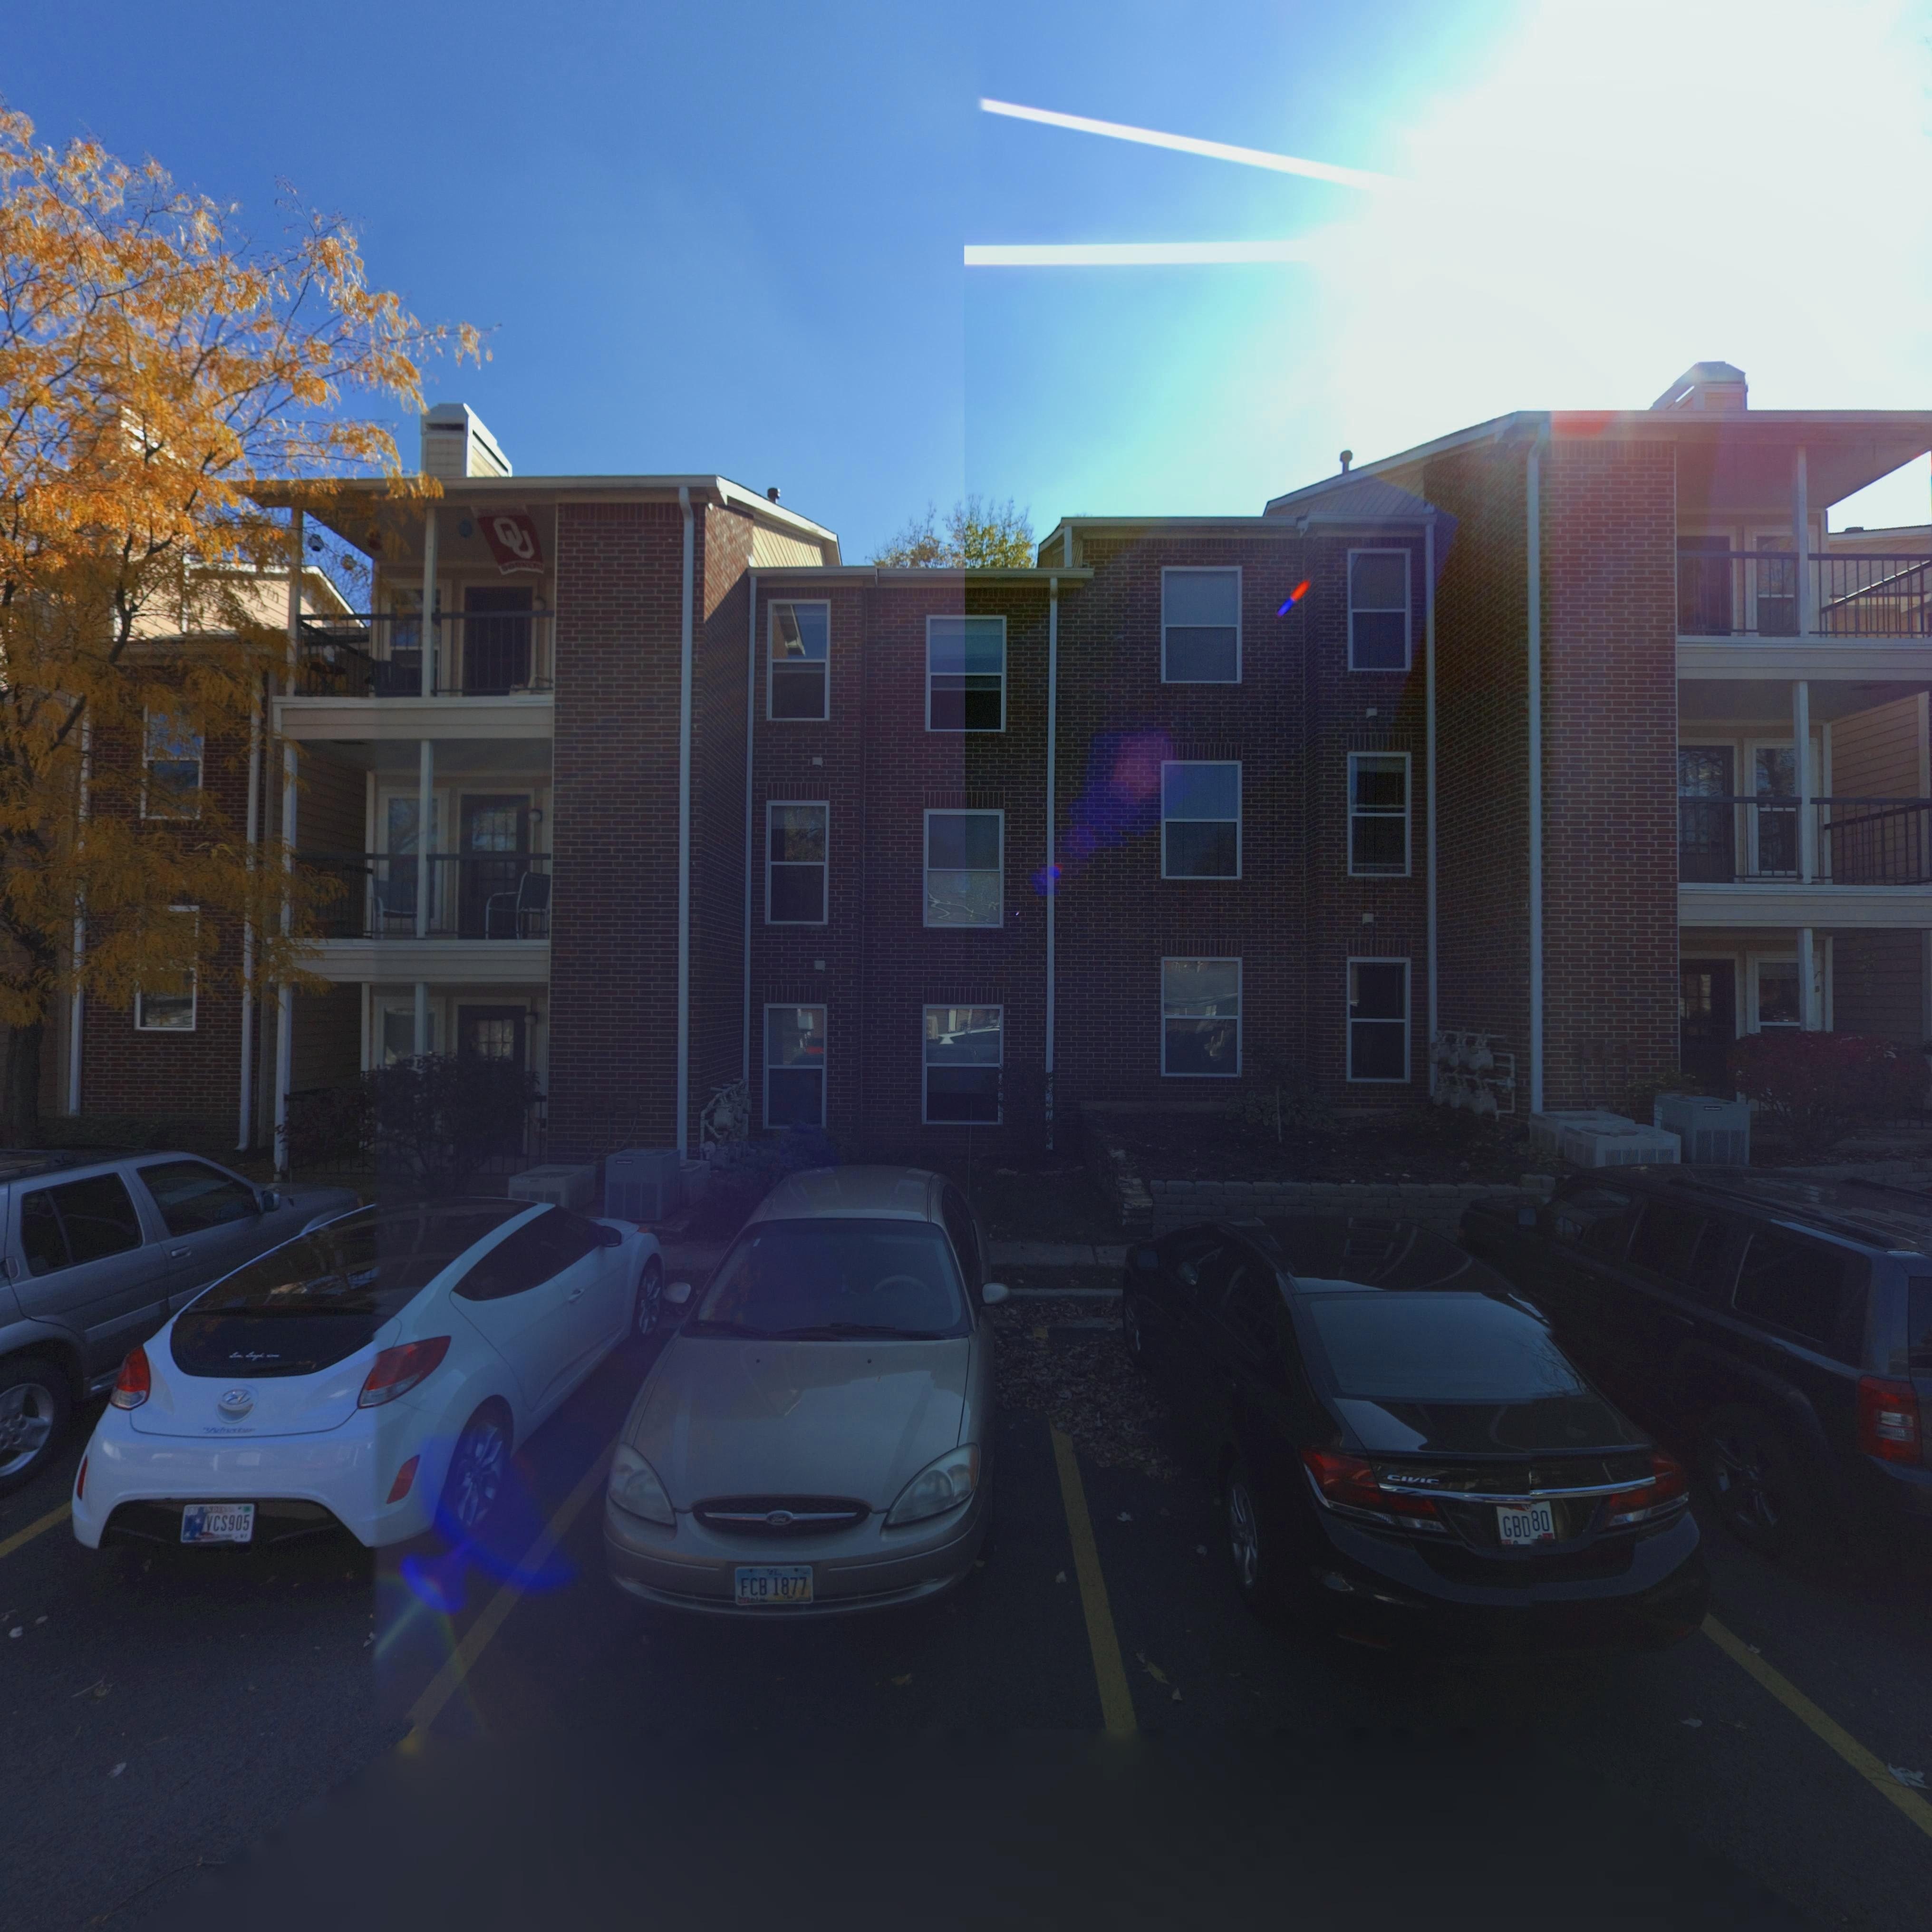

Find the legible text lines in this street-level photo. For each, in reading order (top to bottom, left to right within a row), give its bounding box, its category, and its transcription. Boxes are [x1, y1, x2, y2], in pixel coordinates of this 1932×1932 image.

[1385, 1472, 1442, 1487] None: CIVIC
[205, 1511, 253, 1533] None: VCS905
[1500, 1507, 1552, 1540] None: GBD80
[738, 1574, 810, 1598] None: FCB 1877